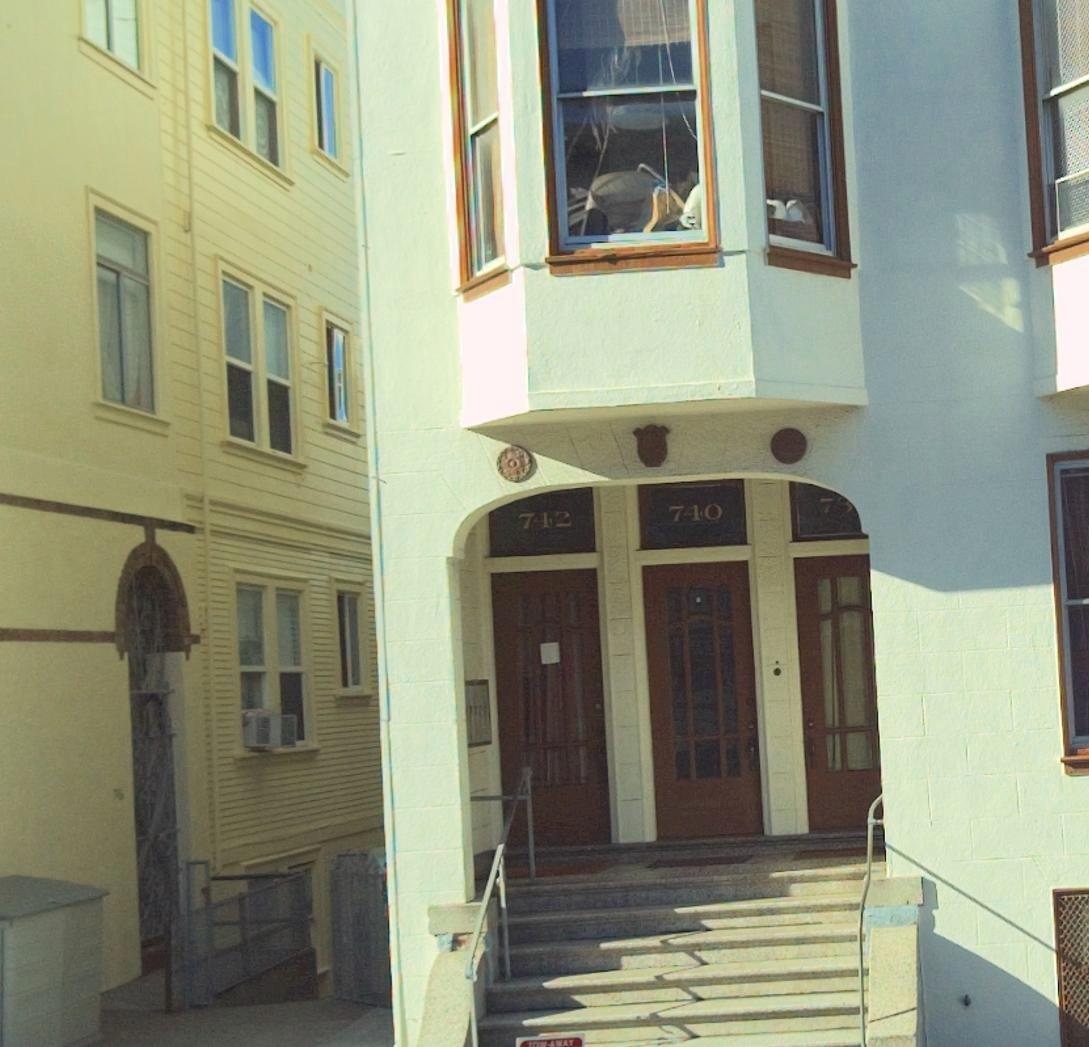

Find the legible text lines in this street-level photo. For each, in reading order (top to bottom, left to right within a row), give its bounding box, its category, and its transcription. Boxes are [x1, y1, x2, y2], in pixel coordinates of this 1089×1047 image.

[516, 509, 574, 531] StreetNumber: 742
[666, 502, 725, 523] StreetNumber: 740
[817, 494, 852, 515] StreetNumber: 73